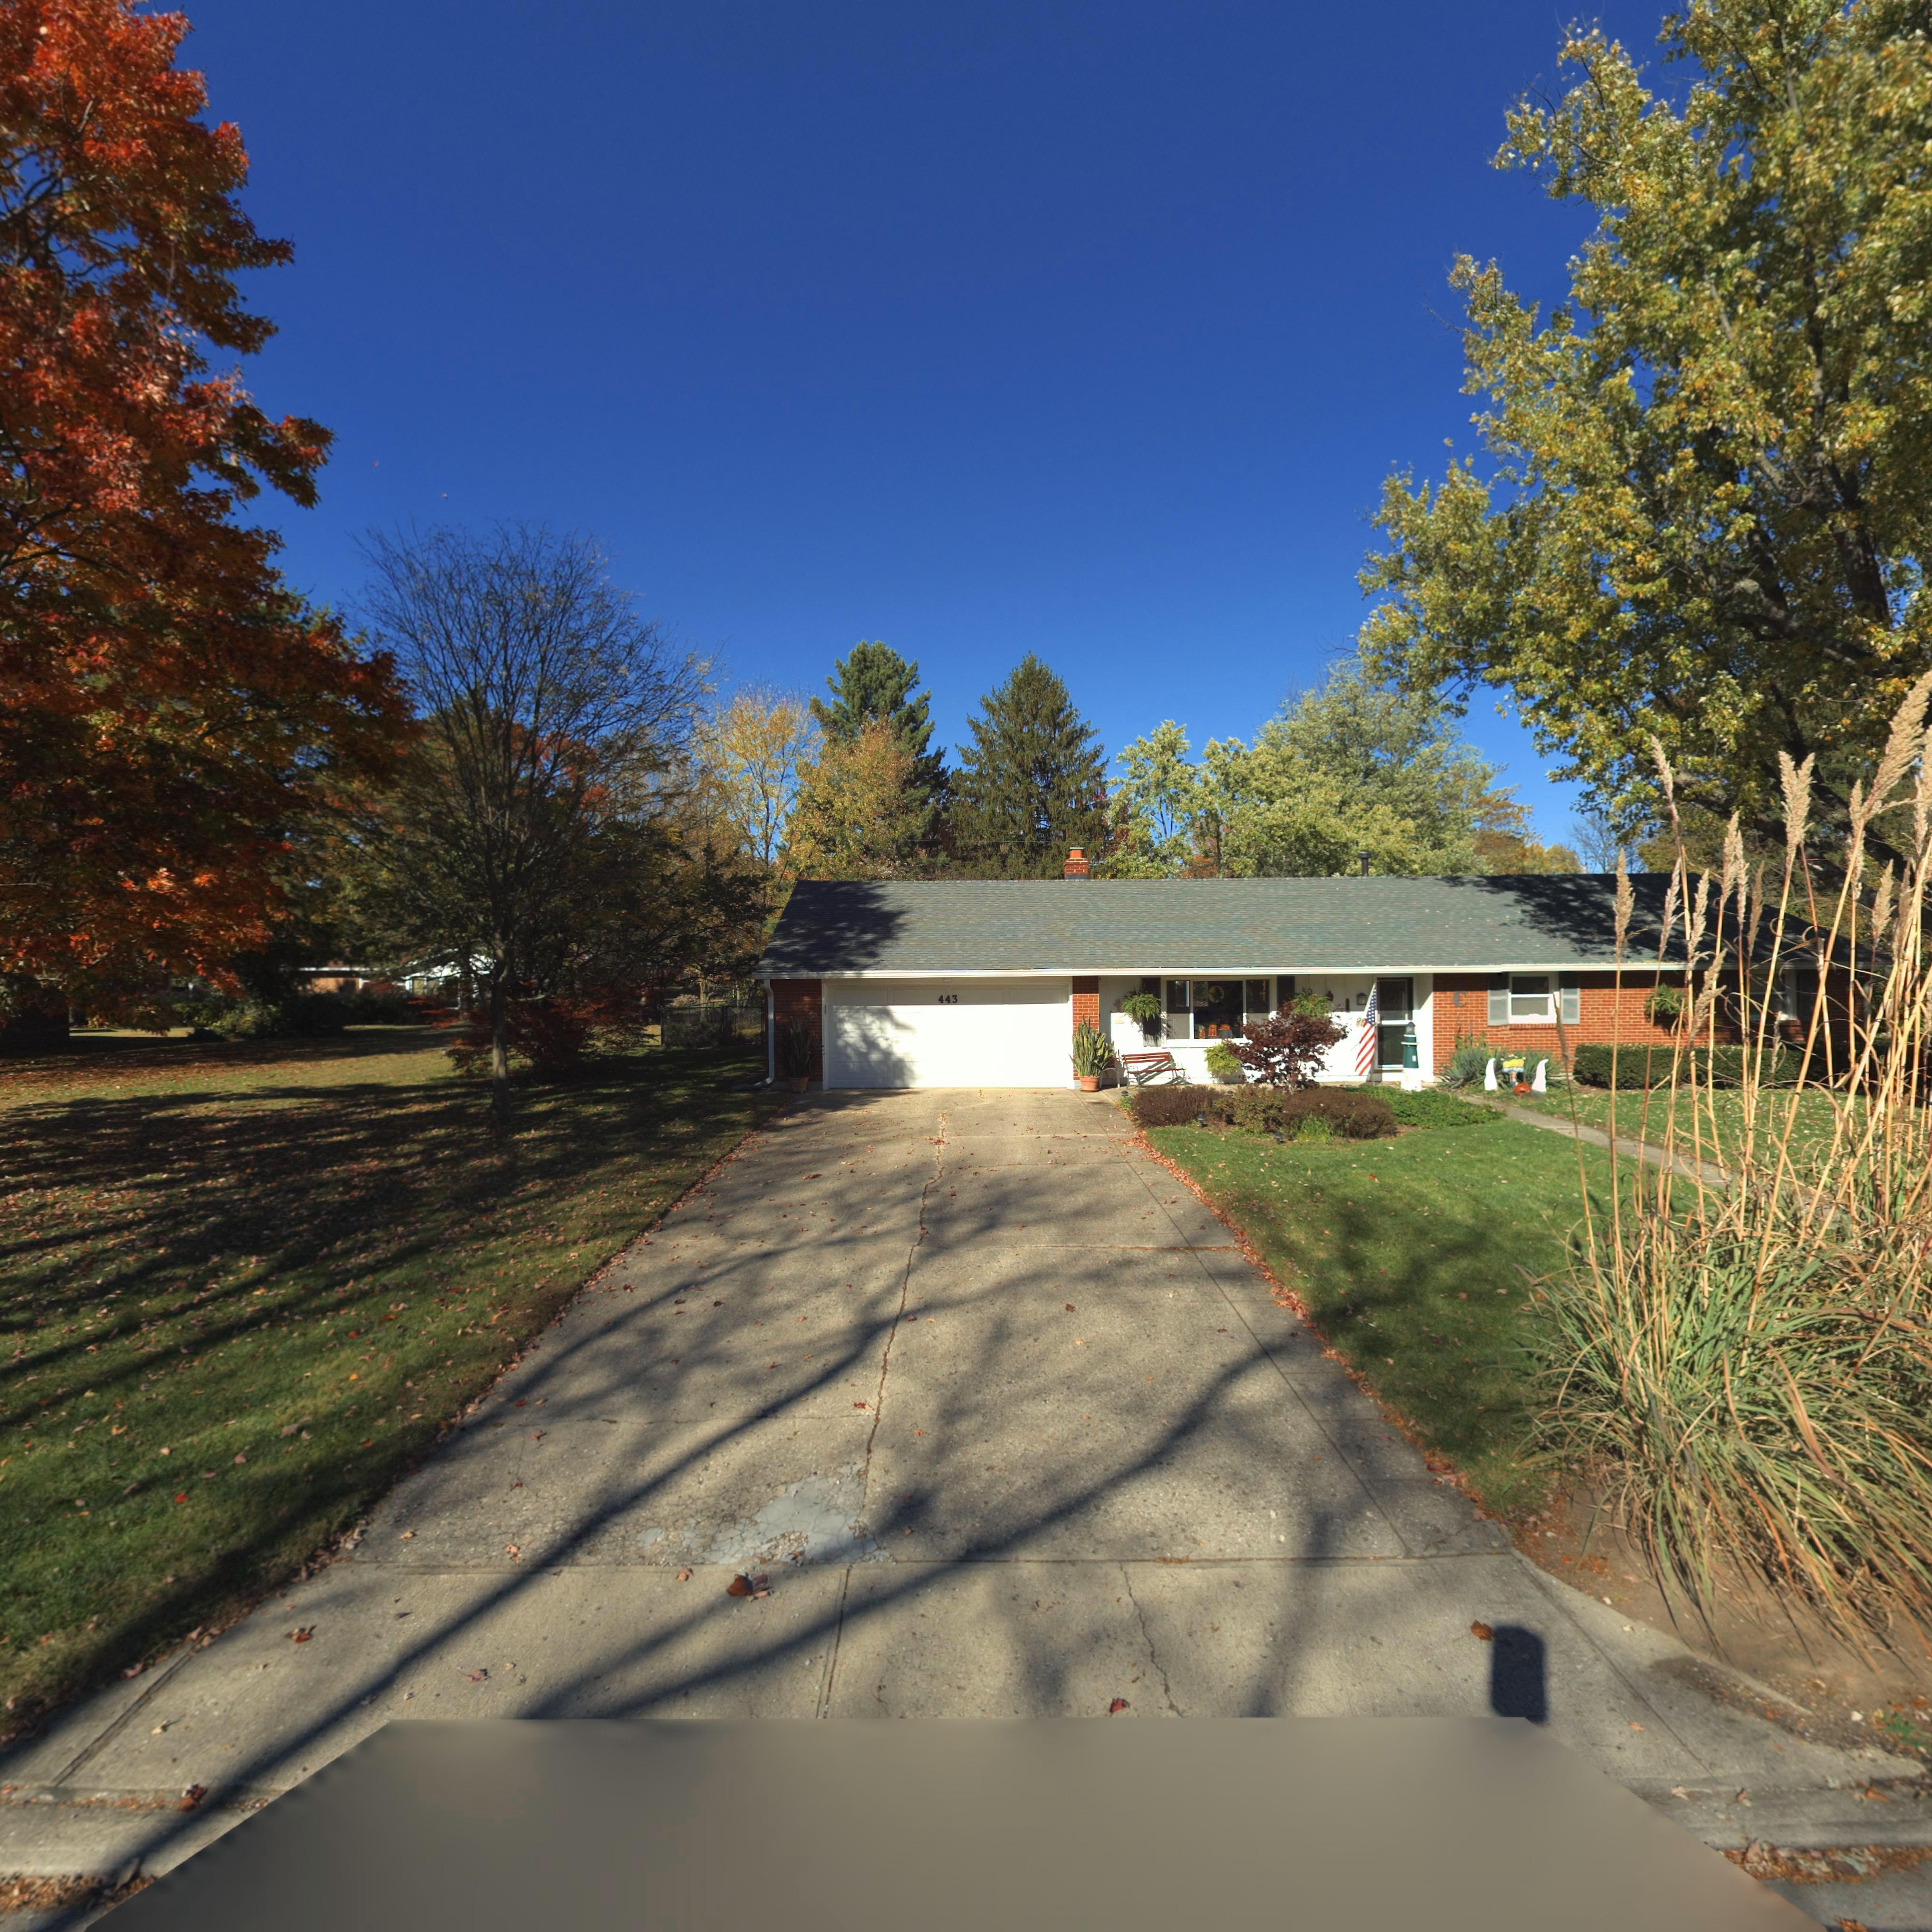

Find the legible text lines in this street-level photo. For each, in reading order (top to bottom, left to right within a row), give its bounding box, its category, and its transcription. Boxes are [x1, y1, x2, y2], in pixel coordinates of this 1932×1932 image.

[937, 994, 958, 1004] StreetNumber: 443
[1452, 989, 1467, 1008] None: C